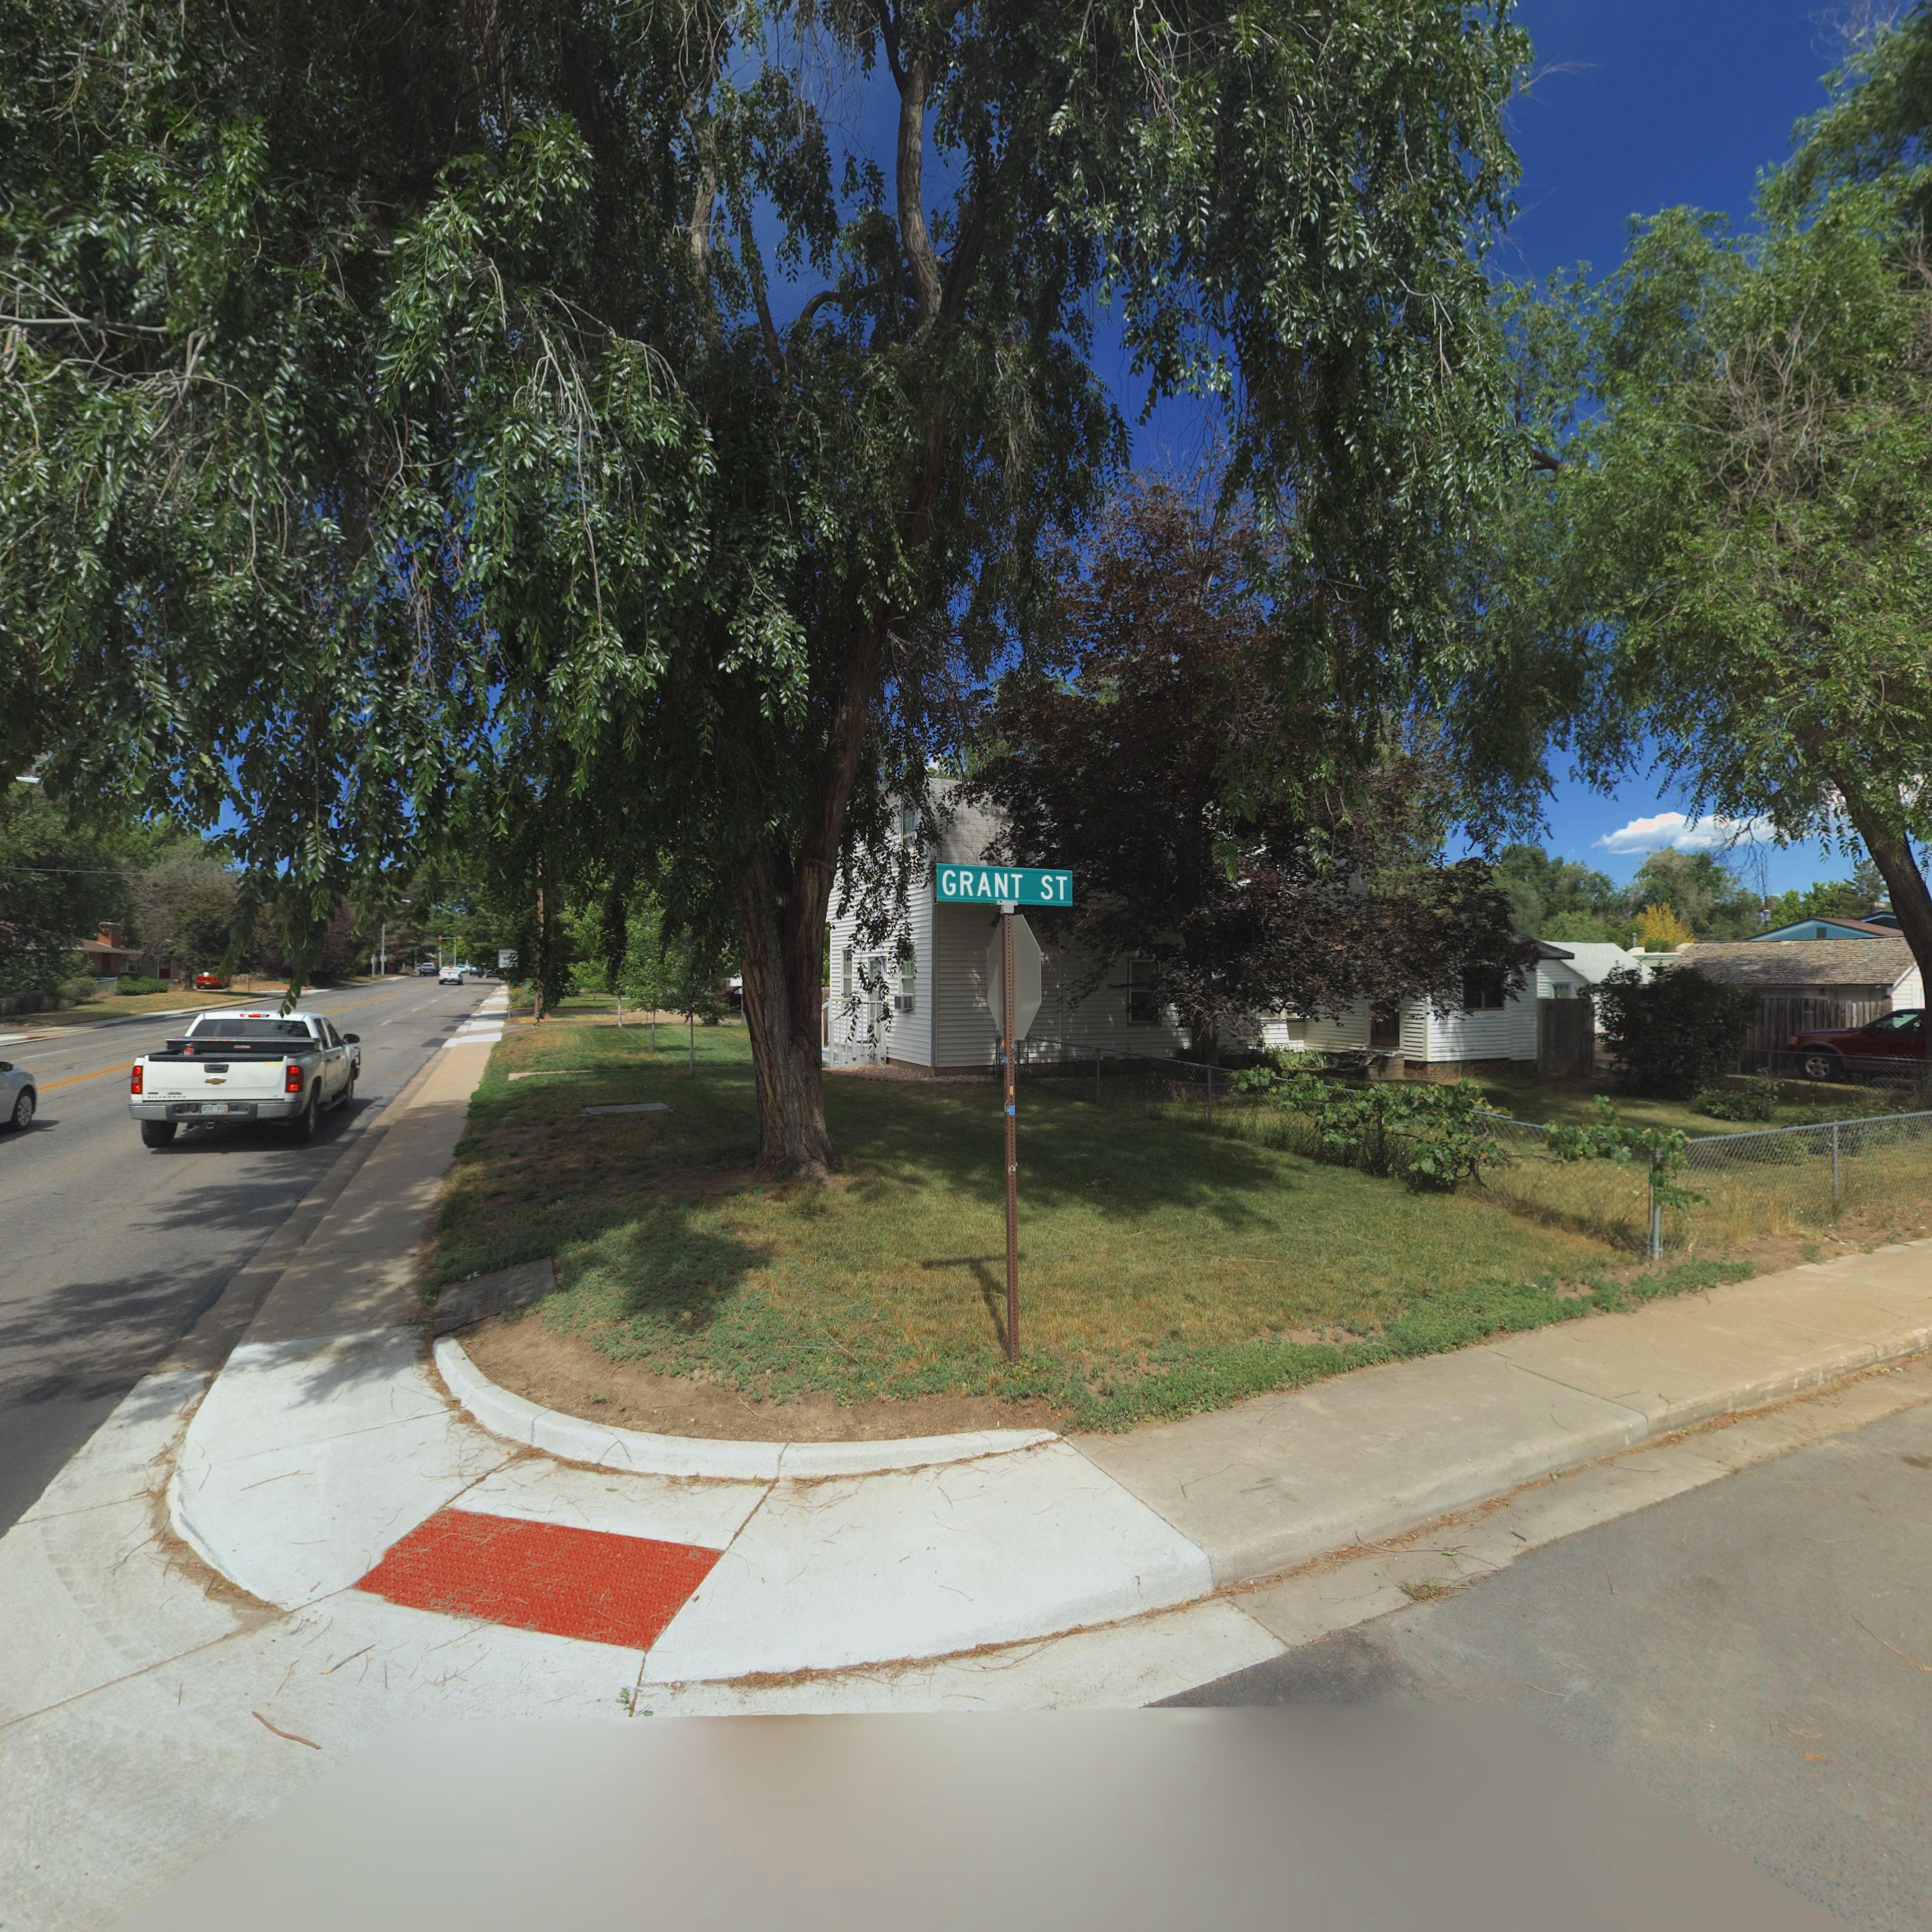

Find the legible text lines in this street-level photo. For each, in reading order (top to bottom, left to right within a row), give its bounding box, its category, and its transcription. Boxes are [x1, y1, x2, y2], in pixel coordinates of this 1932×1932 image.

[942, 869, 1068, 900] StreetName: GRANT ST